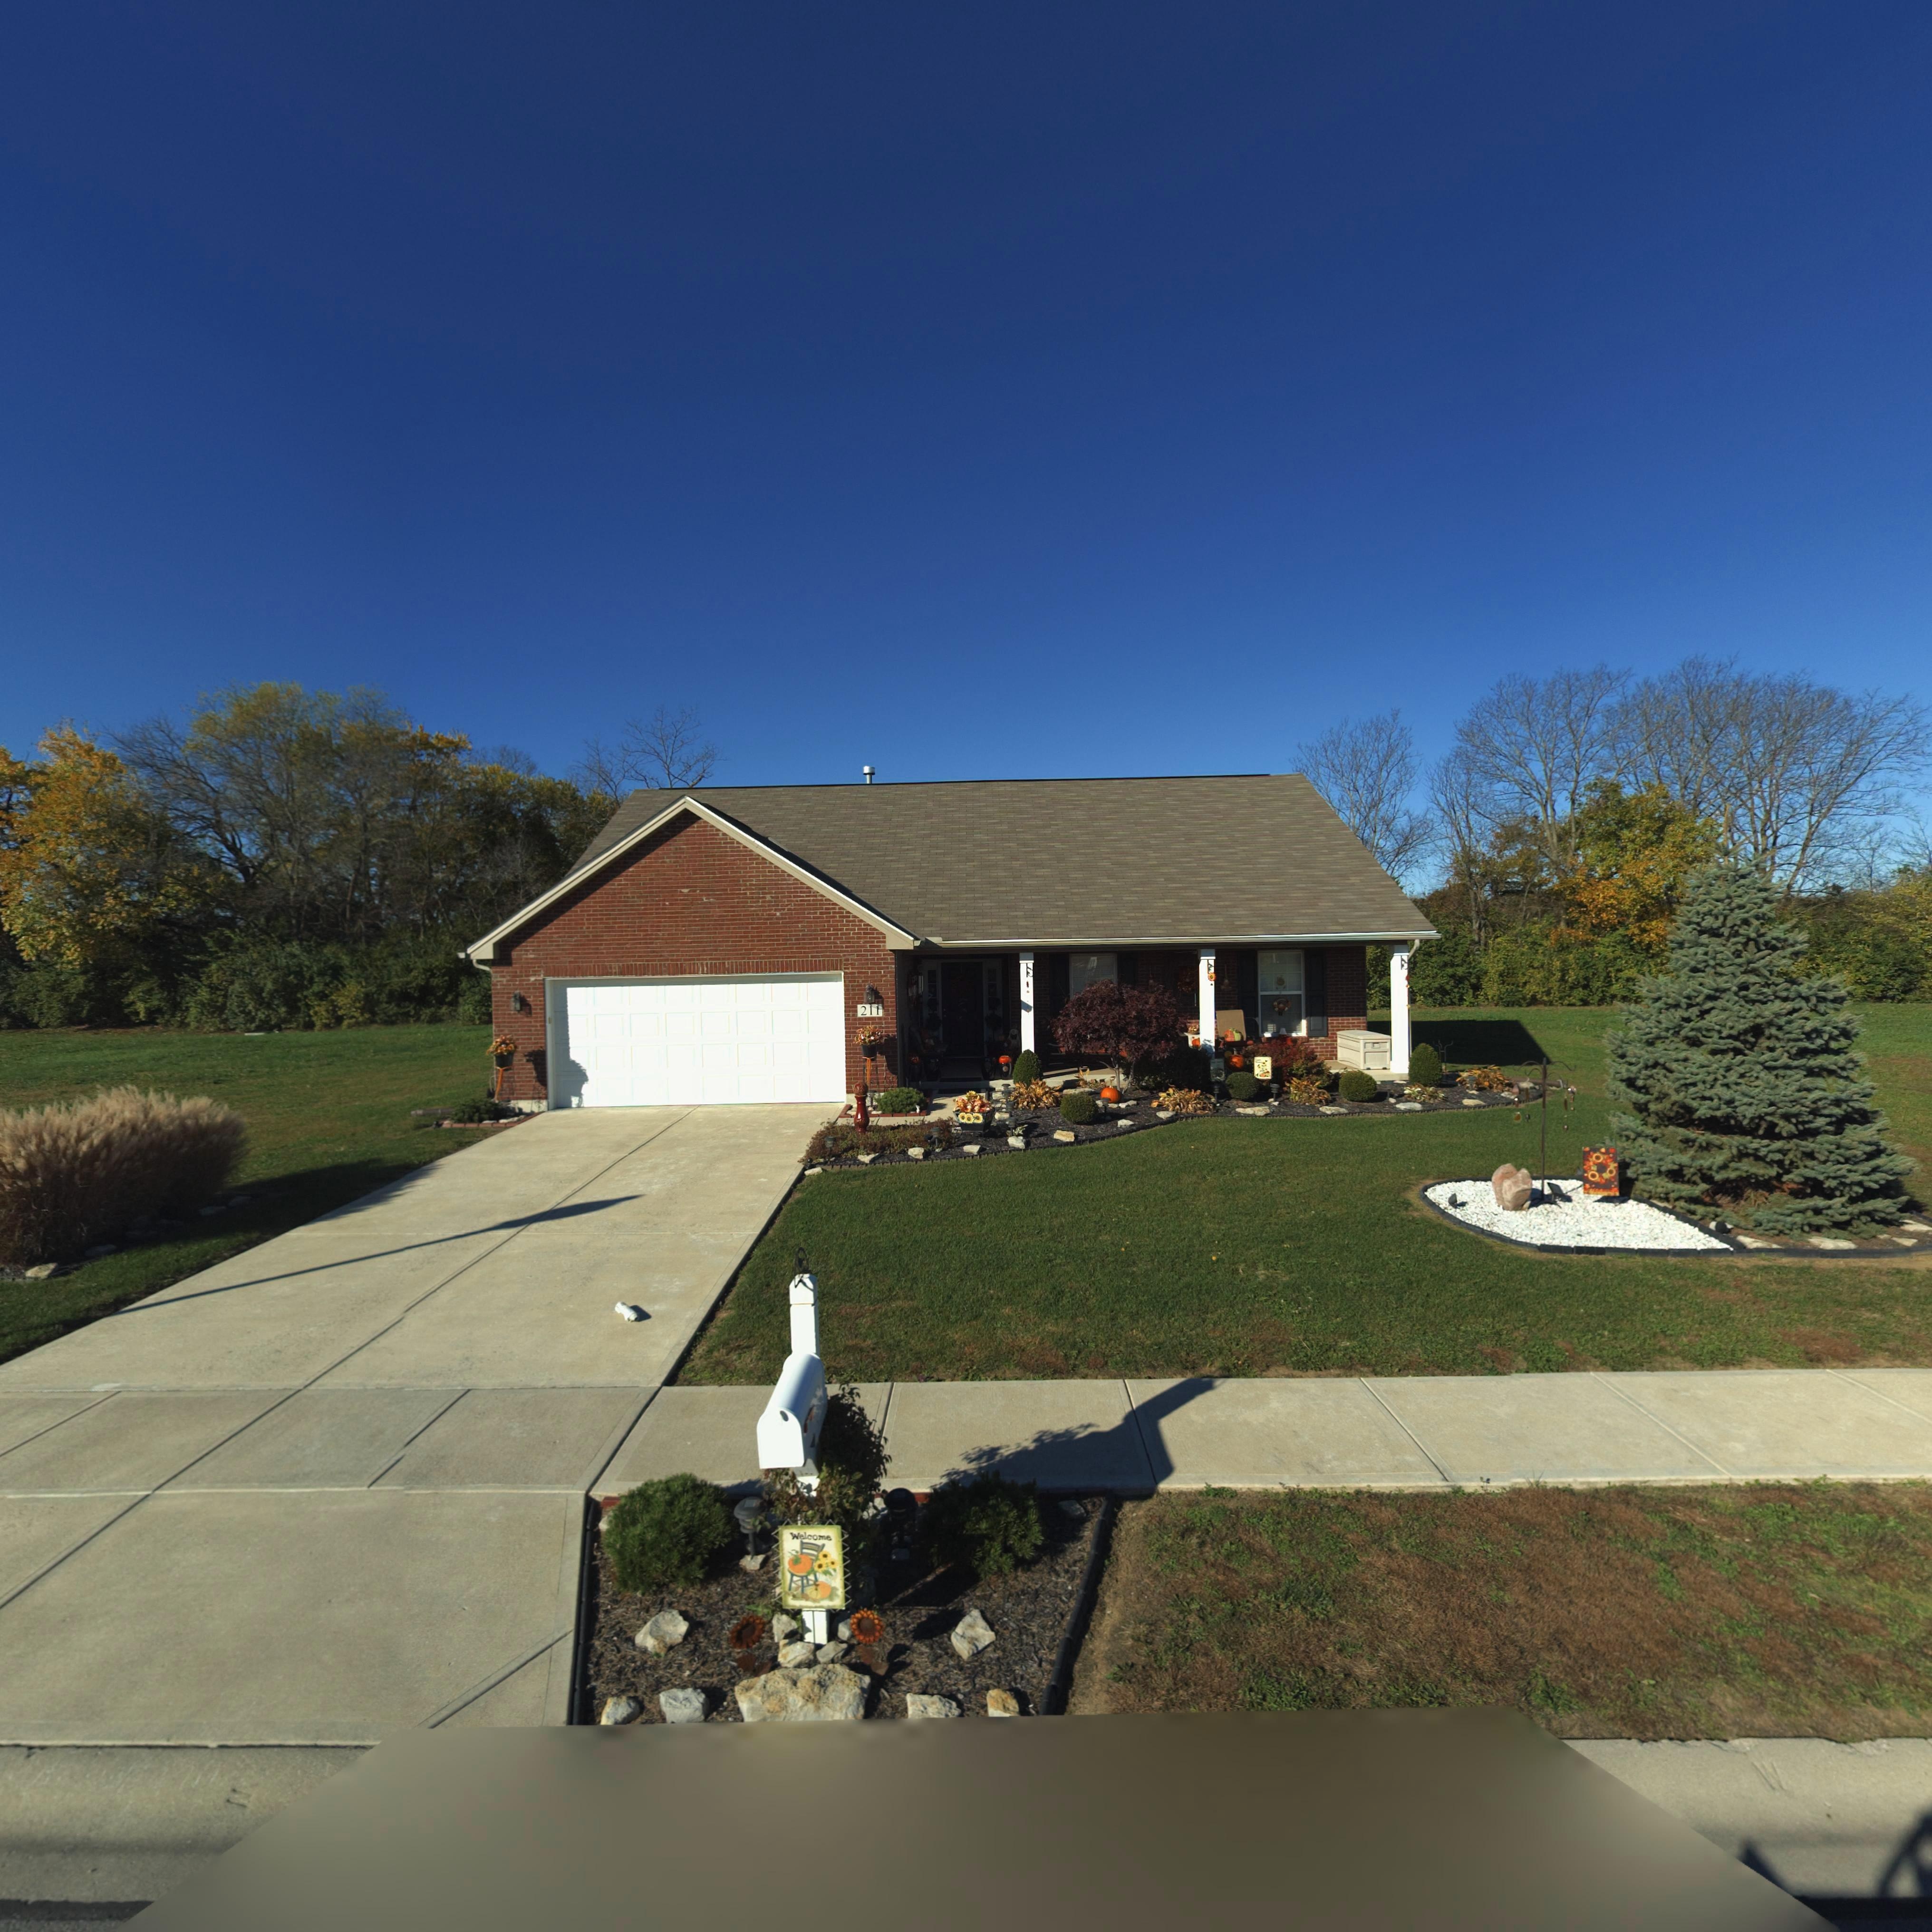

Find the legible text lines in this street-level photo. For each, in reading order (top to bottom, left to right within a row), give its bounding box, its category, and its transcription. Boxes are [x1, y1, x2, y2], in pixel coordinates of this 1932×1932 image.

[860, 1005, 880, 1016] StreetNumber: 211